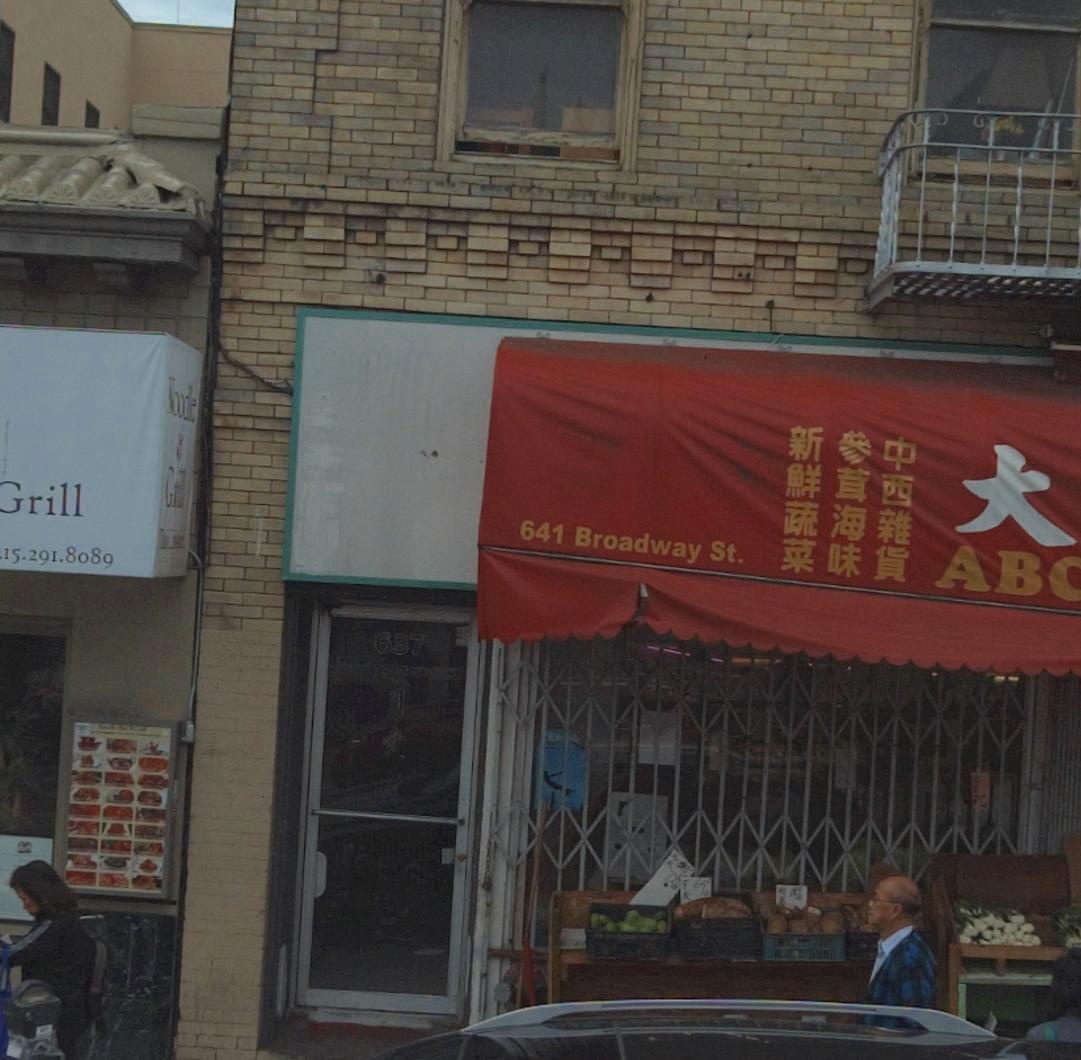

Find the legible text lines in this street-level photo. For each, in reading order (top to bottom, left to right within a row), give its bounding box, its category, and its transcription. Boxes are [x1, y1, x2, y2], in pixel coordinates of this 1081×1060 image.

[164, 373, 199, 427] BusinessName: Noodle
[26, 475, 91, 524] BusinessName: rill
[163, 463, 178, 509] BusinessName: G
[0, 540, 121, 574] None: 15.291.8089
[517, 516, 568, 549] StreetNumber: 641
[571, 522, 749, 570] StreetName: Broadway St.
[925, 537, 1049, 600] BusinessName: AB
[371, 629, 430, 660] StreetNumber: 637